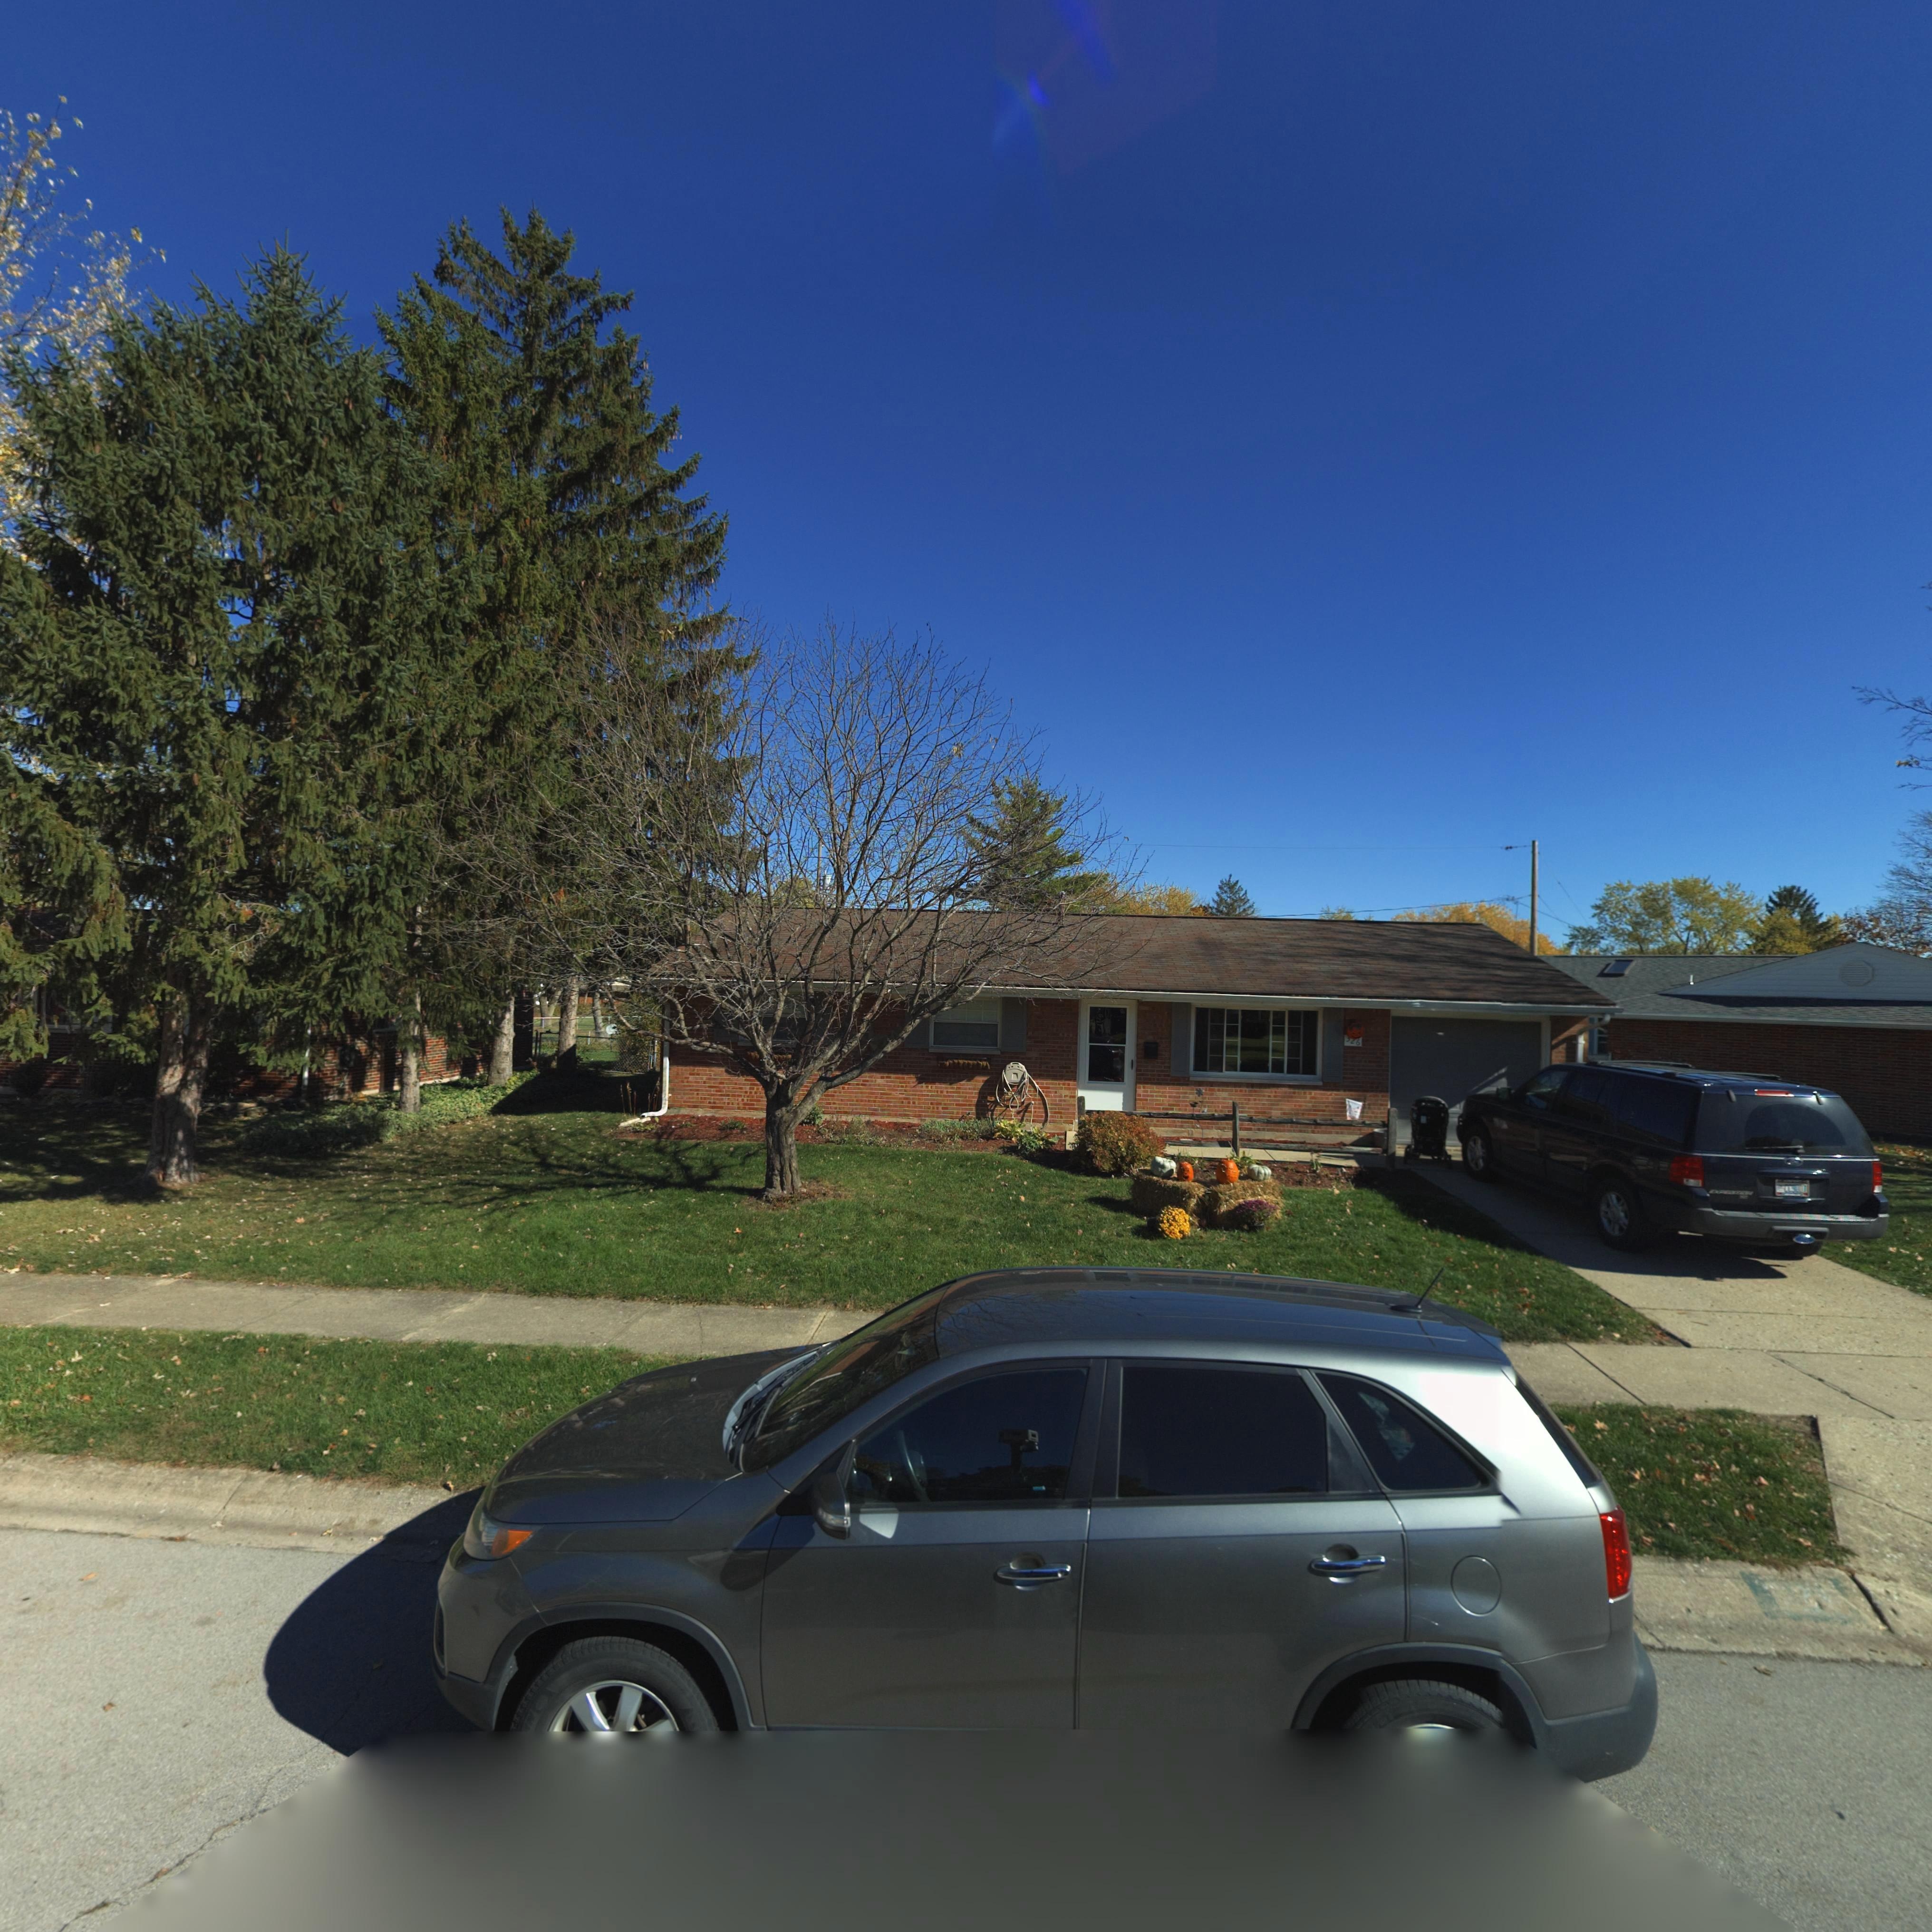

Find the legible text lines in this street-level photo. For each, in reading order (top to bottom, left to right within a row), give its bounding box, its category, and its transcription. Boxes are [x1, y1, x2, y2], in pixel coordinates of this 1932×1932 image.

[1345, 1034, 1362, 1047] StreetNumber: **6